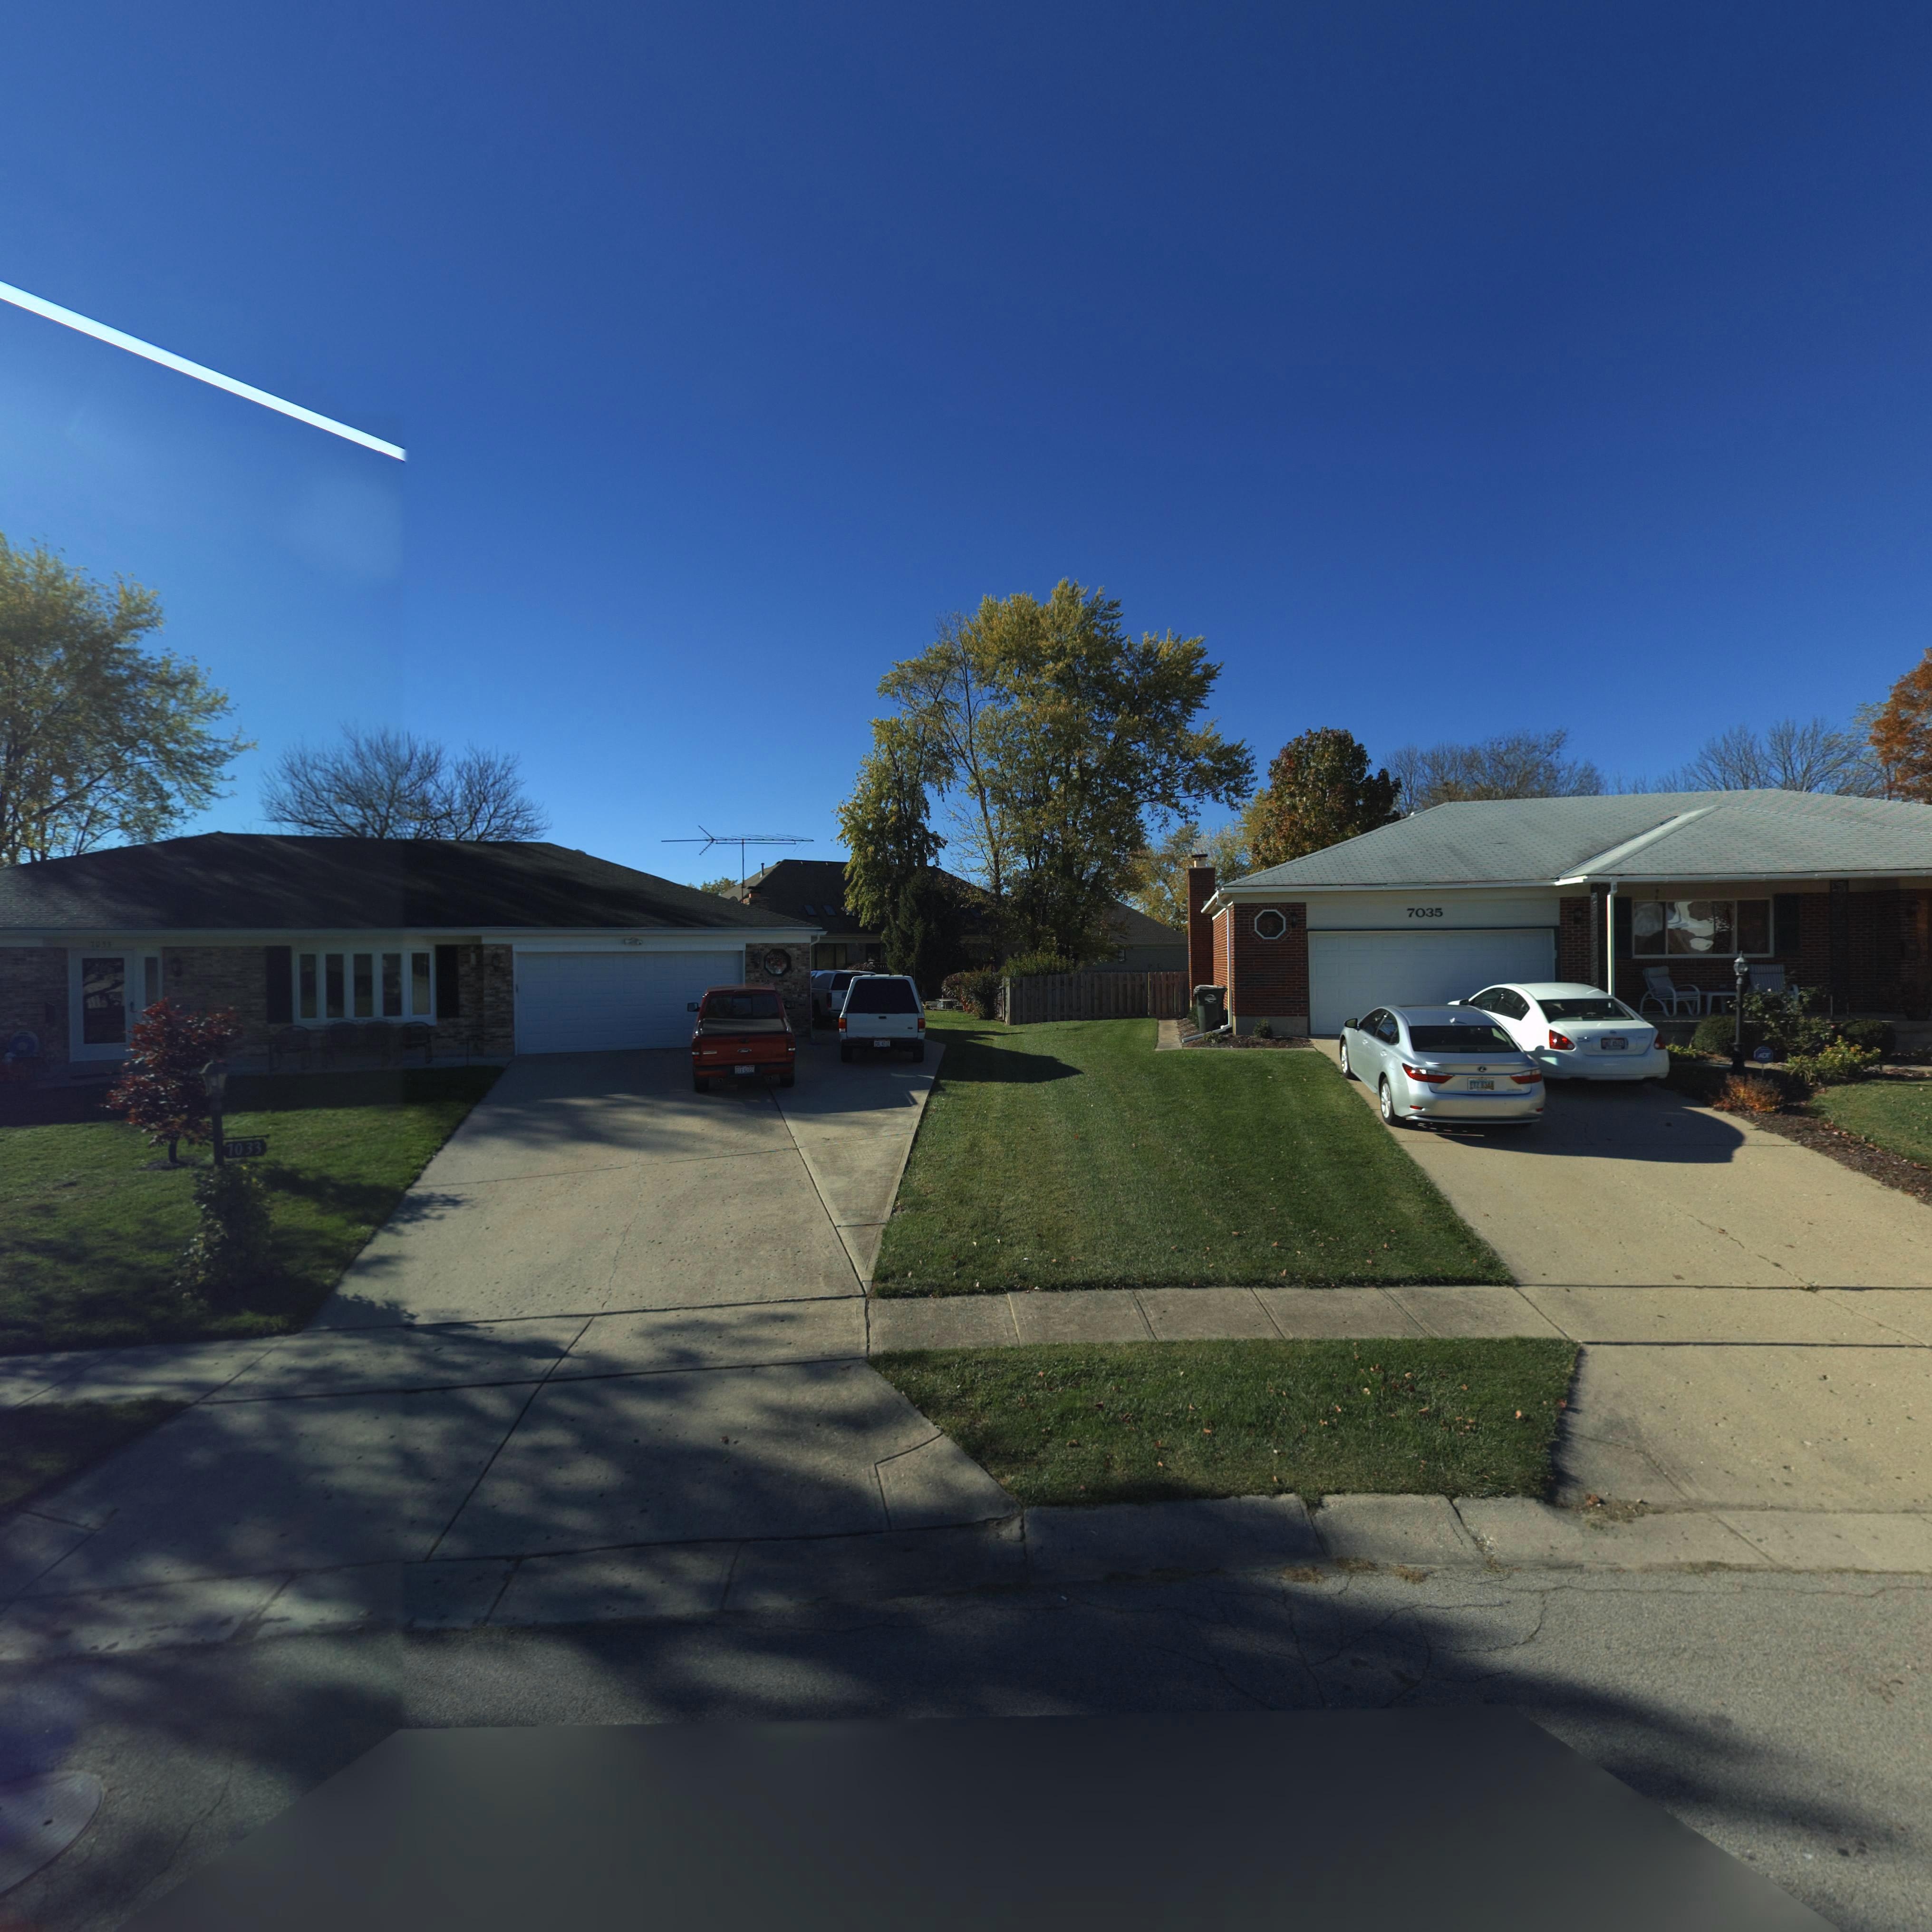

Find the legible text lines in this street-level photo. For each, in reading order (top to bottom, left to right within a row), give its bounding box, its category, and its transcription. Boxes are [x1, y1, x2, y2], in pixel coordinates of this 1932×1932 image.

[1406, 907, 1443, 918] StreetNumber: 7035
[224, 1140, 262, 1157] StreetNumber: 7033